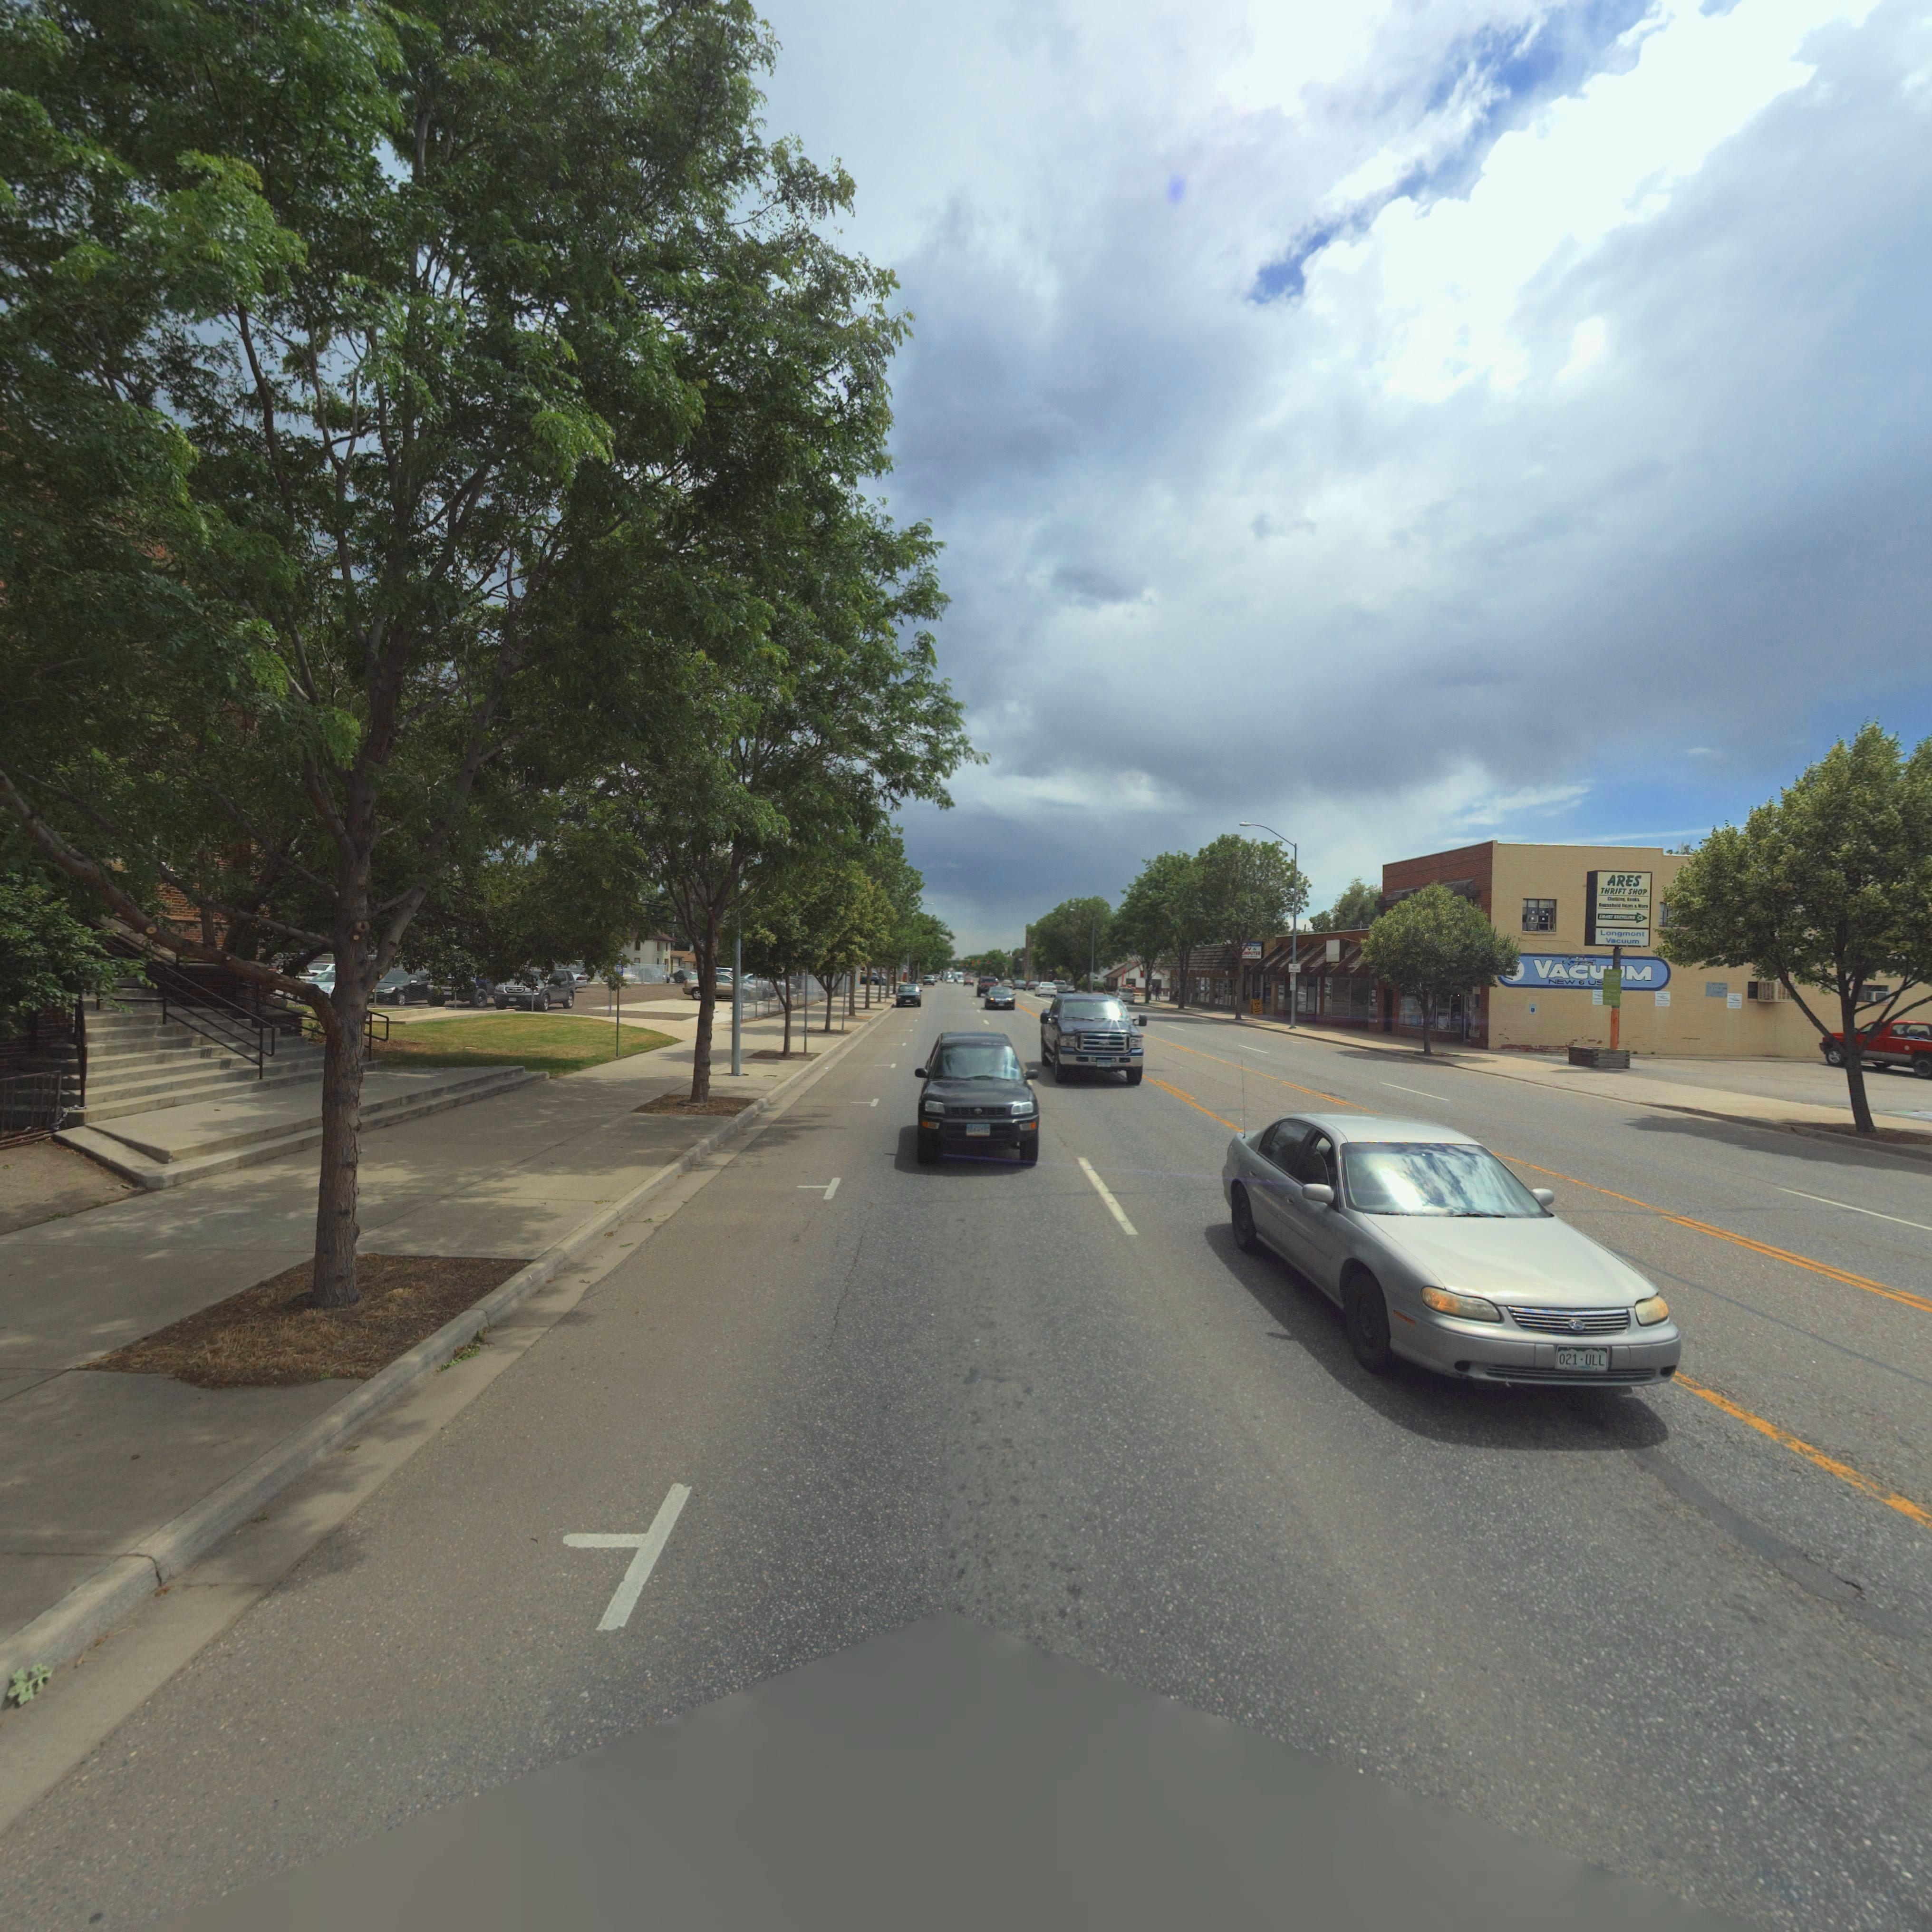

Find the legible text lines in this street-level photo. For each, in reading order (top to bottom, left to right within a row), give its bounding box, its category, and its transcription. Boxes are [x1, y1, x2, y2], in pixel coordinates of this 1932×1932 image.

[1606, 874, 1642, 888] BusinessName: ARES
[1601, 888, 1647, 895] BusinessName: THRIFT SHOP
[1599, 914, 1635, 919] BusinessName: SMART RECYCLING
[1600, 929, 1645, 937] BusinessName: Longmont
[1605, 937, 1639, 944] BusinessName: Vacuum
[1246, 947, 1257, 950] BusinessName: V &
[1241, 951, 1260, 955] BusinessName: OMPUTER
[1562, 956, 1595, 964] BusinessName: Longmont
[1533, 959, 1652, 981] BusinessName: Vac**m